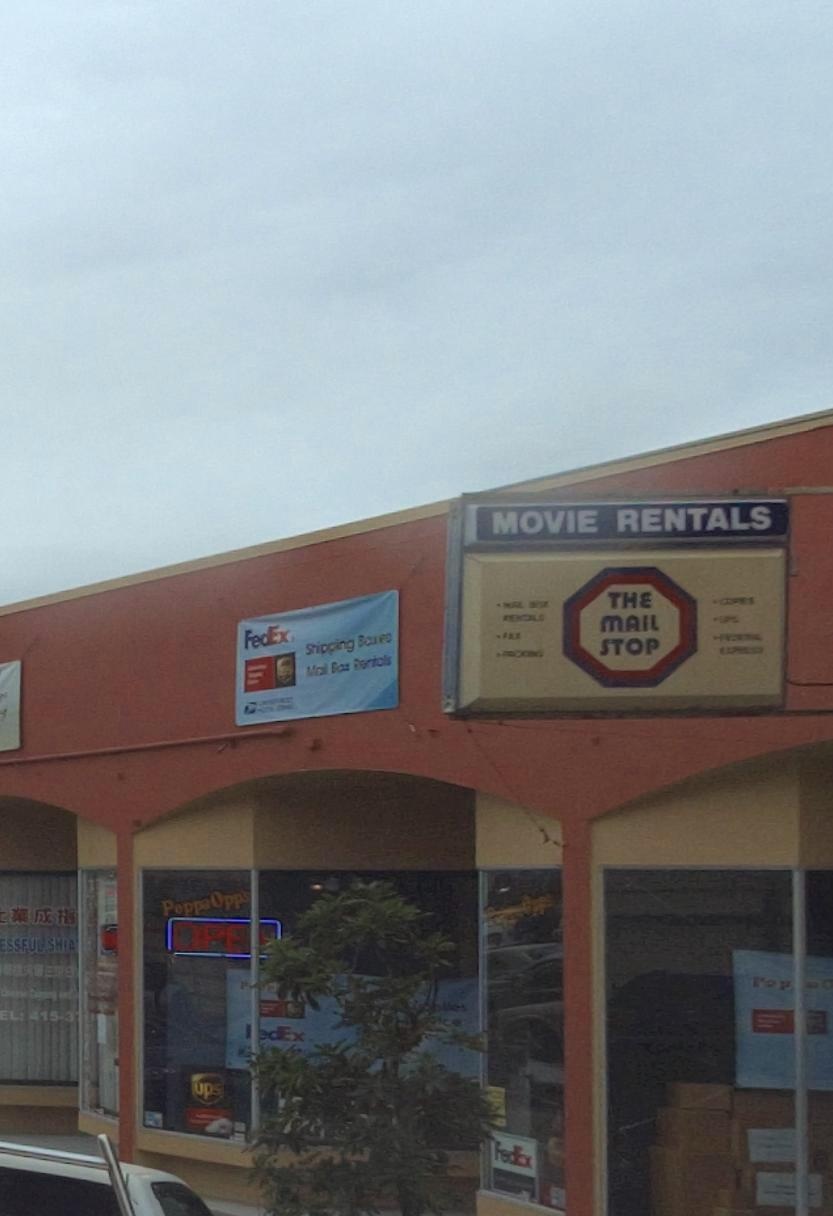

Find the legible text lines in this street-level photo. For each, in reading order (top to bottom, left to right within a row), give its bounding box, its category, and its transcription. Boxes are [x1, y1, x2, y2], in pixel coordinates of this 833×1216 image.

[490, 503, 777, 537] BusinessName: MOVIE RENTALS
[604, 589, 654, 611] BusinessName: THE
[597, 612, 661, 634] BusinessName: MAIL
[242, 623, 292, 653] BusinessName: FedEx
[302, 627, 396, 660] None: Shipping Bo**s
[598, 635, 662, 658] BusinessName: STOP
[304, 650, 393, 680] None: Mail Box Rentals
[156, 887, 251, 919] BusinessName: PoppaOpp's
[6, 935, 77, 955] None: SSFUL SHIA
[170, 919, 250, 956] None: OPE
[749, 974, 793, 995] None: Pop
[8, 1008, 76, 1024] None: L:415-3
[268, 1023, 307, 1044] BusinessName: dEx
[192, 1081, 222, 1102] BusinessName: ups
[493, 1138, 535, 1173] BusinessName: FedEx